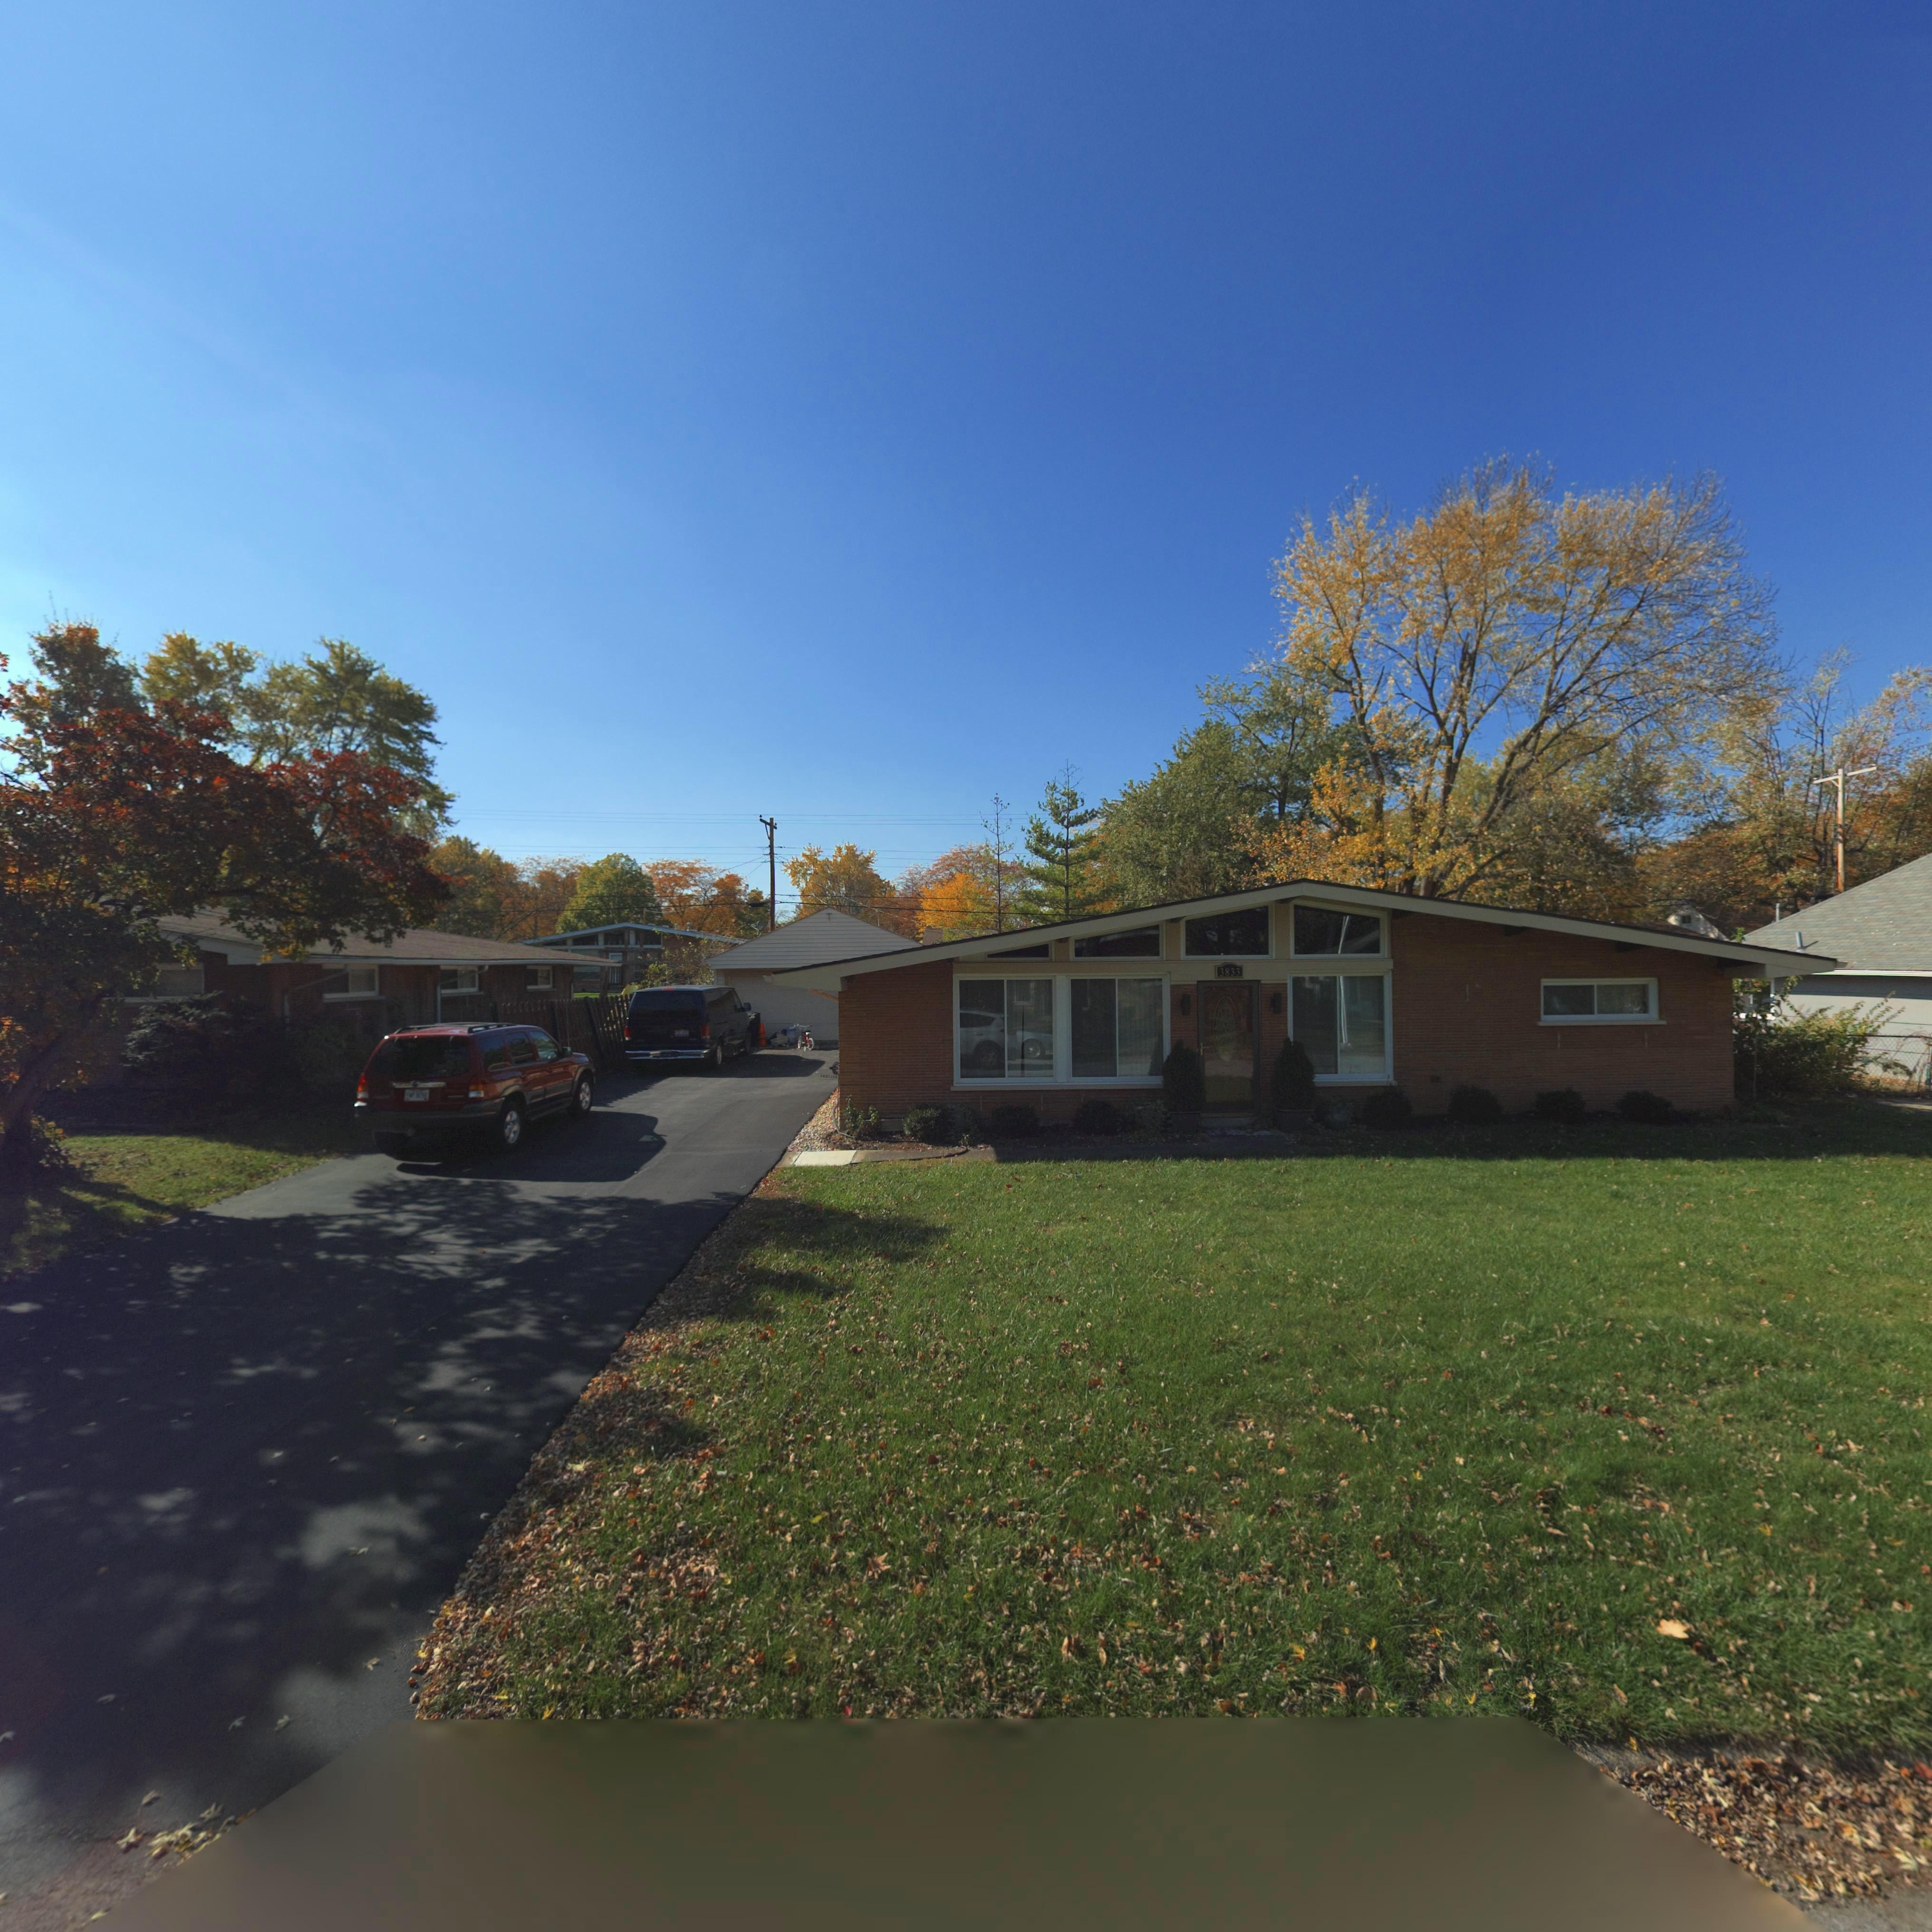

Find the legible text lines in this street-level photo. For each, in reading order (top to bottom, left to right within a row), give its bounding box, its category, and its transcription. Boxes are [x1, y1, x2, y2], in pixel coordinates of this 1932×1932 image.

[1219, 967, 1240, 976] StreetNumber: 3833